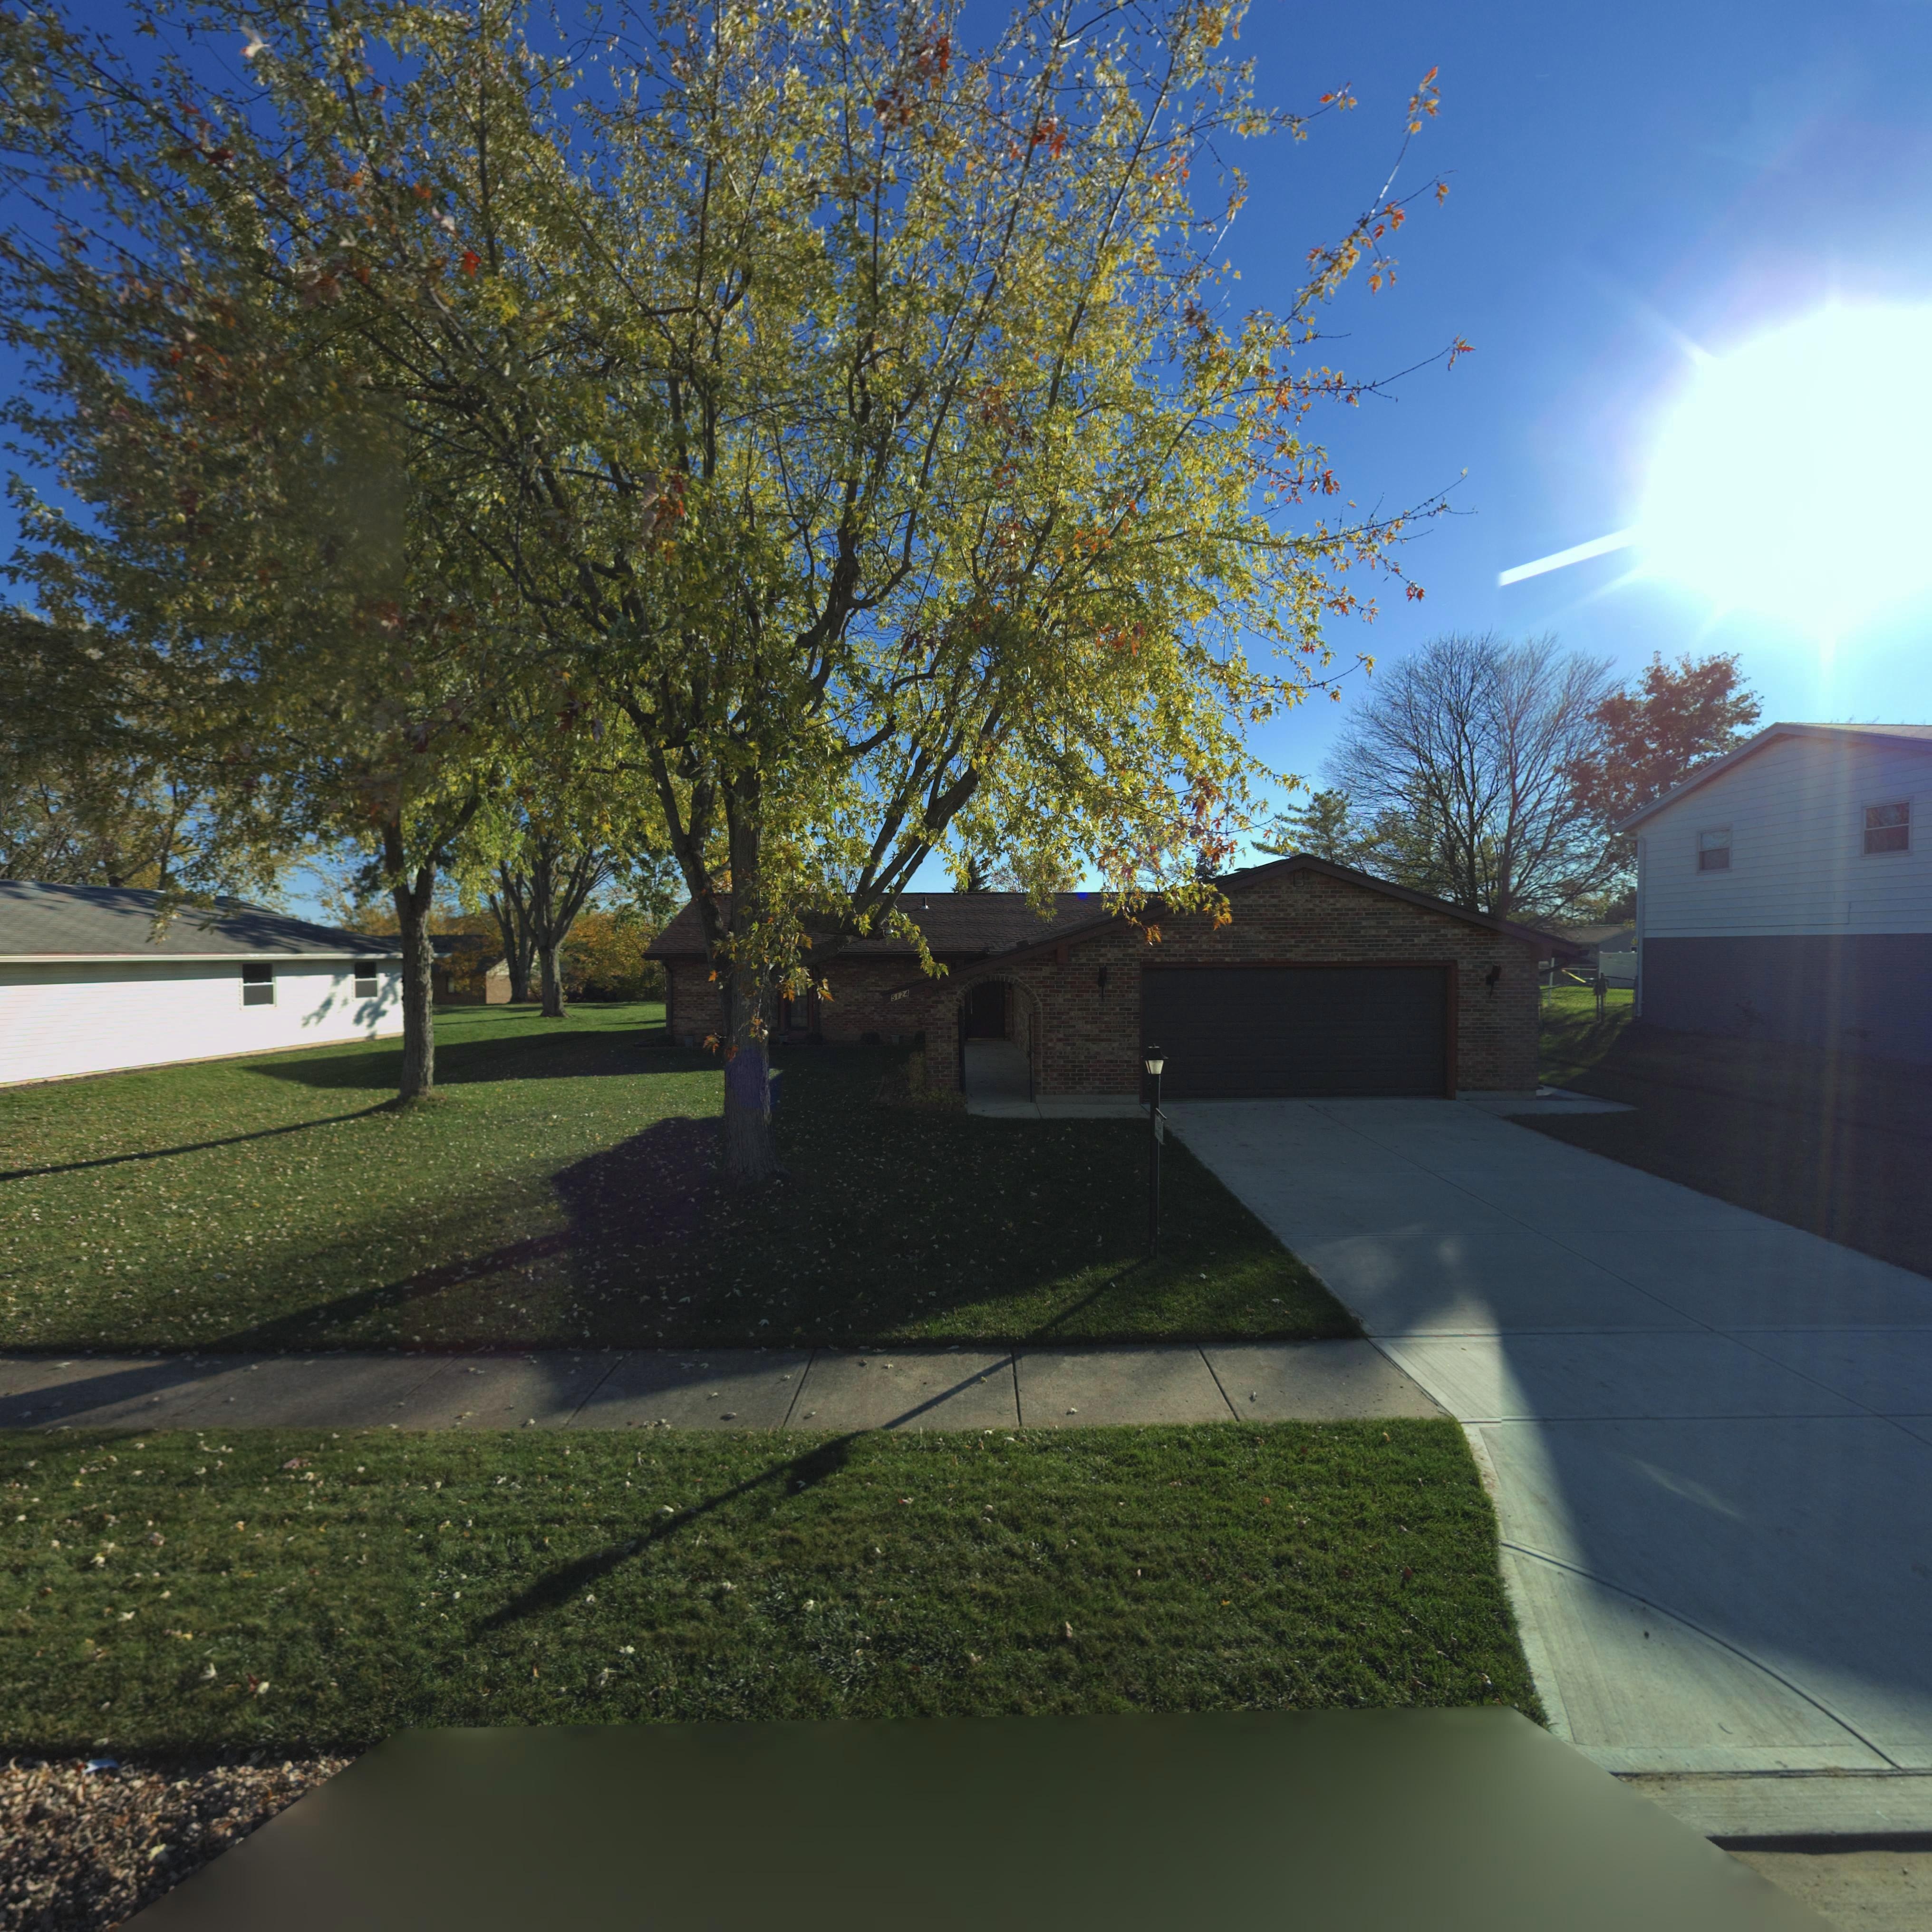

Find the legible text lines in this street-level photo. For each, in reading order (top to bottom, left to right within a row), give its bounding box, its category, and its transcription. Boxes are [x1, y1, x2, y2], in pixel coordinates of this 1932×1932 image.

[891, 989, 909, 1002] StreetNumber: 5124
[1155, 1119, 1159, 1127] StreetNumber: 5